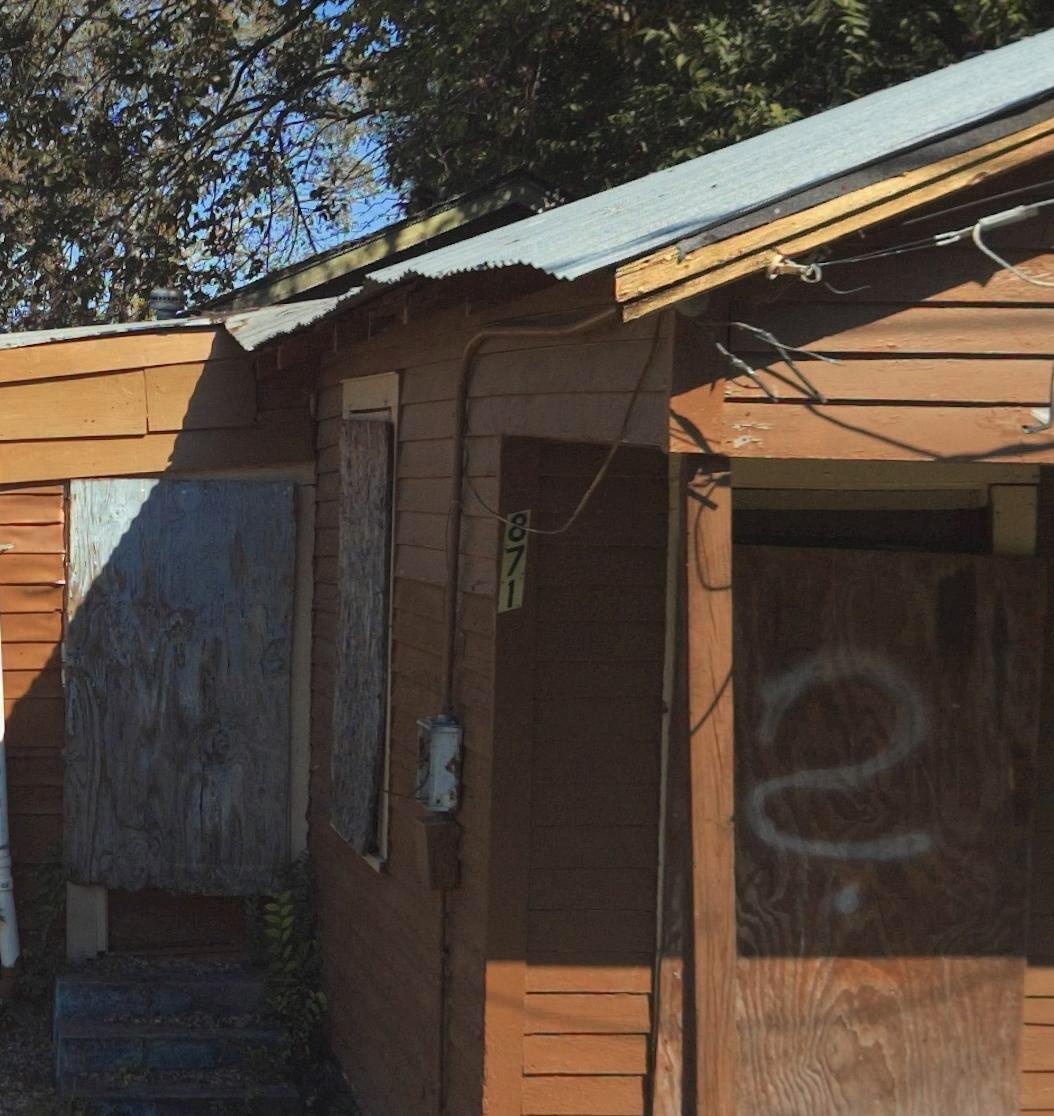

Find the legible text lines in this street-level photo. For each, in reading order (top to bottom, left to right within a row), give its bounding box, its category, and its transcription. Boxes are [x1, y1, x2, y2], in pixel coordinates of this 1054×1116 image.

[502, 509, 532, 613] StreetNumber: 871
[731, 631, 947, 868] None: 2